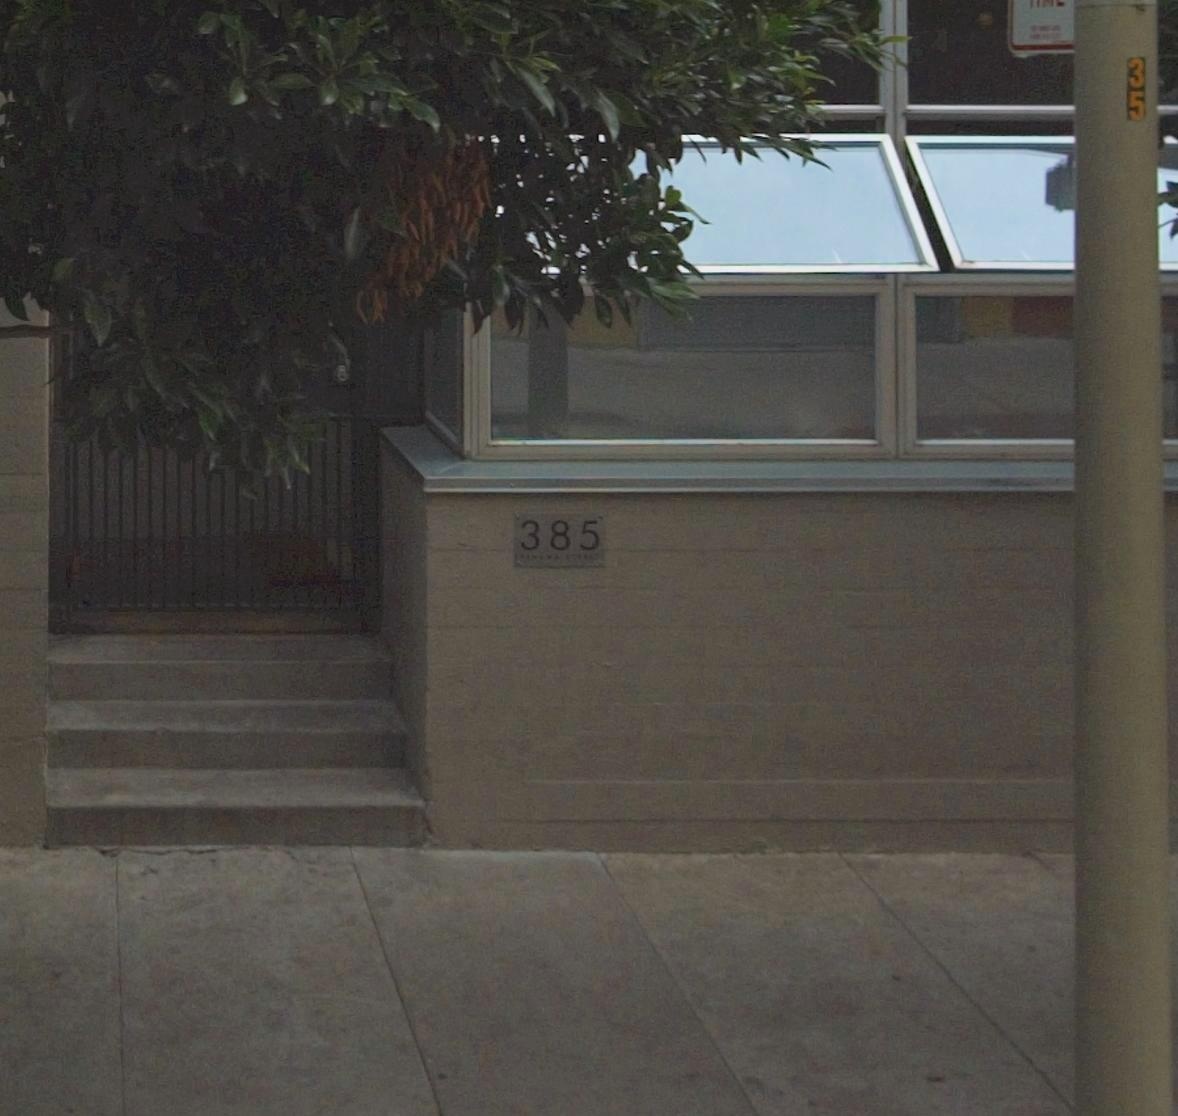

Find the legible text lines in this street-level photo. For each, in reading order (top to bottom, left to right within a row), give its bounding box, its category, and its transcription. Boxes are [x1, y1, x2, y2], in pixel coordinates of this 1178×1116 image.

[1126, 54, 1148, 125] None: 35
[519, 517, 602, 553] StreetNumber: 385